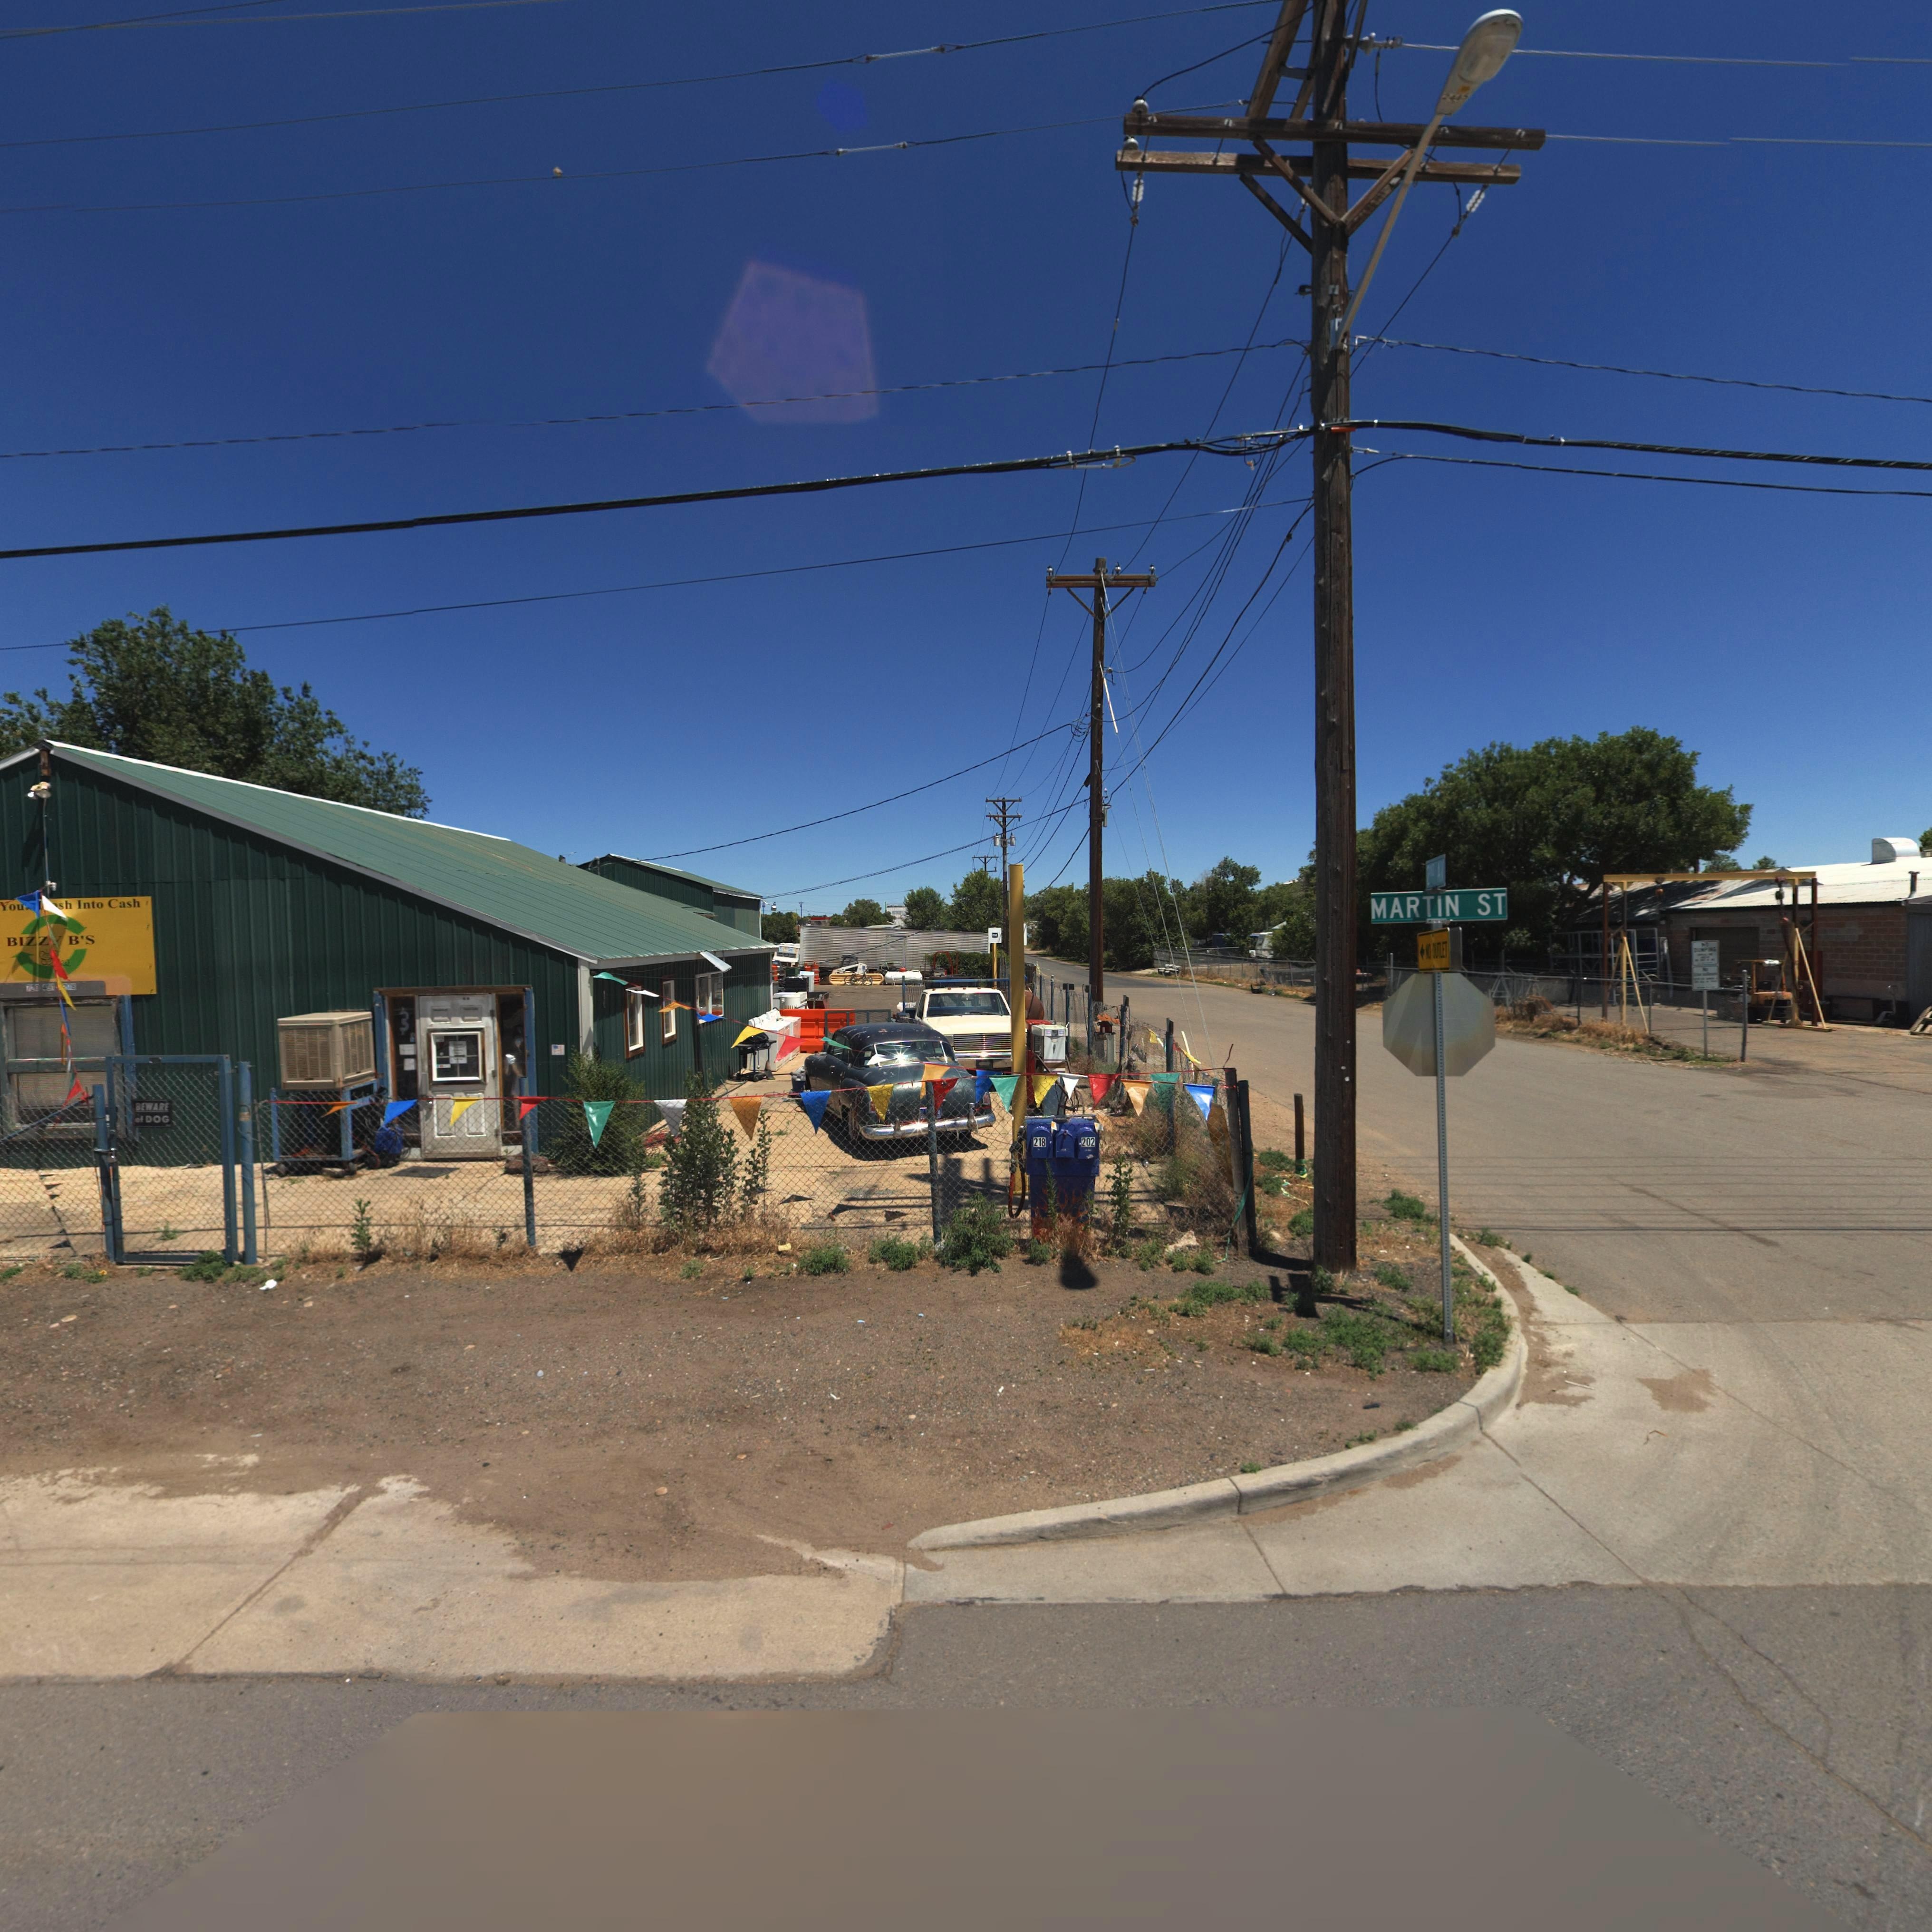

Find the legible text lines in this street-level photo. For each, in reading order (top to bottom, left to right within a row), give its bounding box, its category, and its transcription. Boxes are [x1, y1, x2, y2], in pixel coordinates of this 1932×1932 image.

[1425, 859, 1446, 886] StreetName: 2*D AV
[1370, 892, 1506, 919] StreetName: MARTIN ST
[6, 935, 96, 947] BusinessName: BIZZ* B'S
[1034, 1137, 1045, 1147] StreetNumber: 218
[1081, 1137, 1095, 1147] StreetNumber: 202